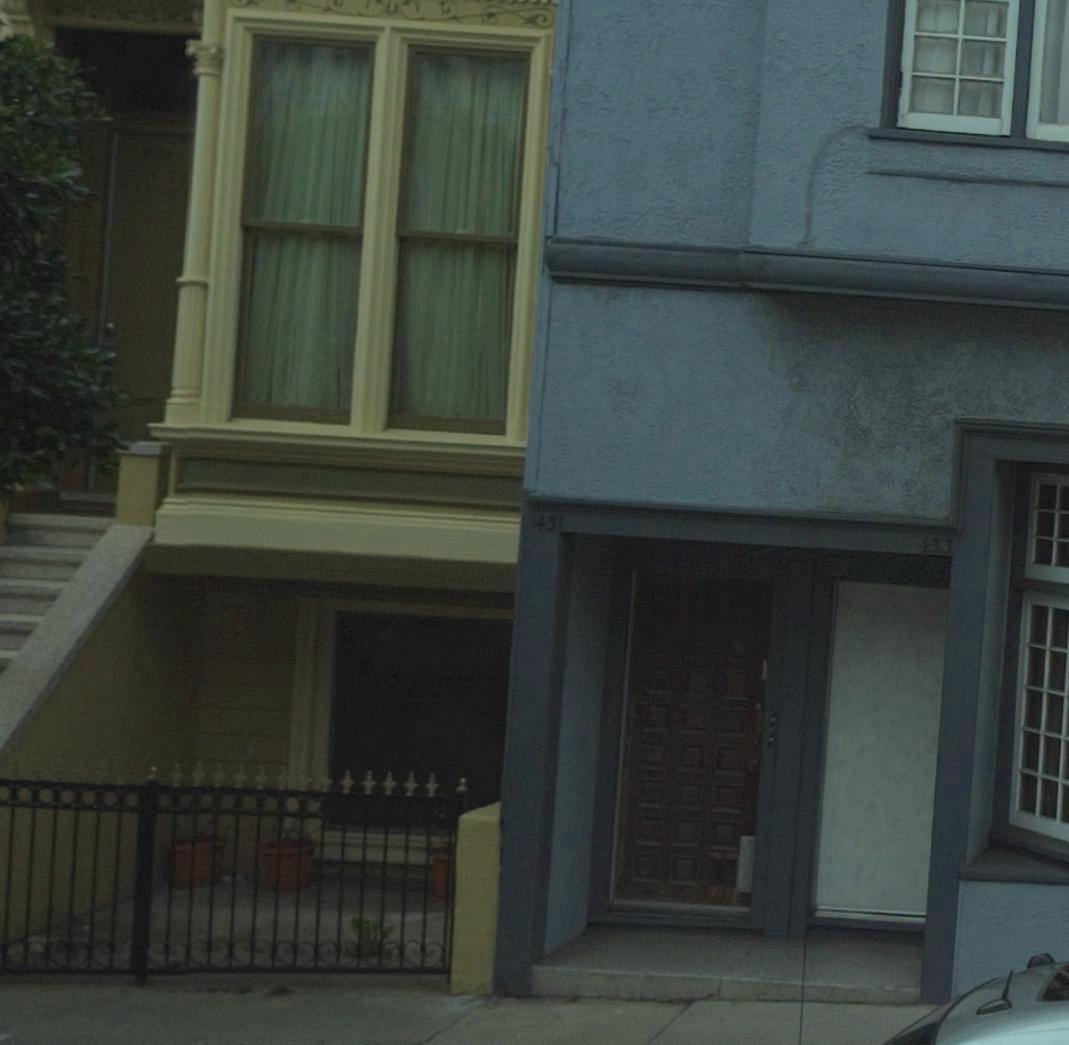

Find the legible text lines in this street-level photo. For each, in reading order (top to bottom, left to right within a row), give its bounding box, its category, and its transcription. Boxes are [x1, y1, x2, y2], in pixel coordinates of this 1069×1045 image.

[531, 516, 564, 531] StreetNumber: 431
[918, 536, 952, 553] None: 433